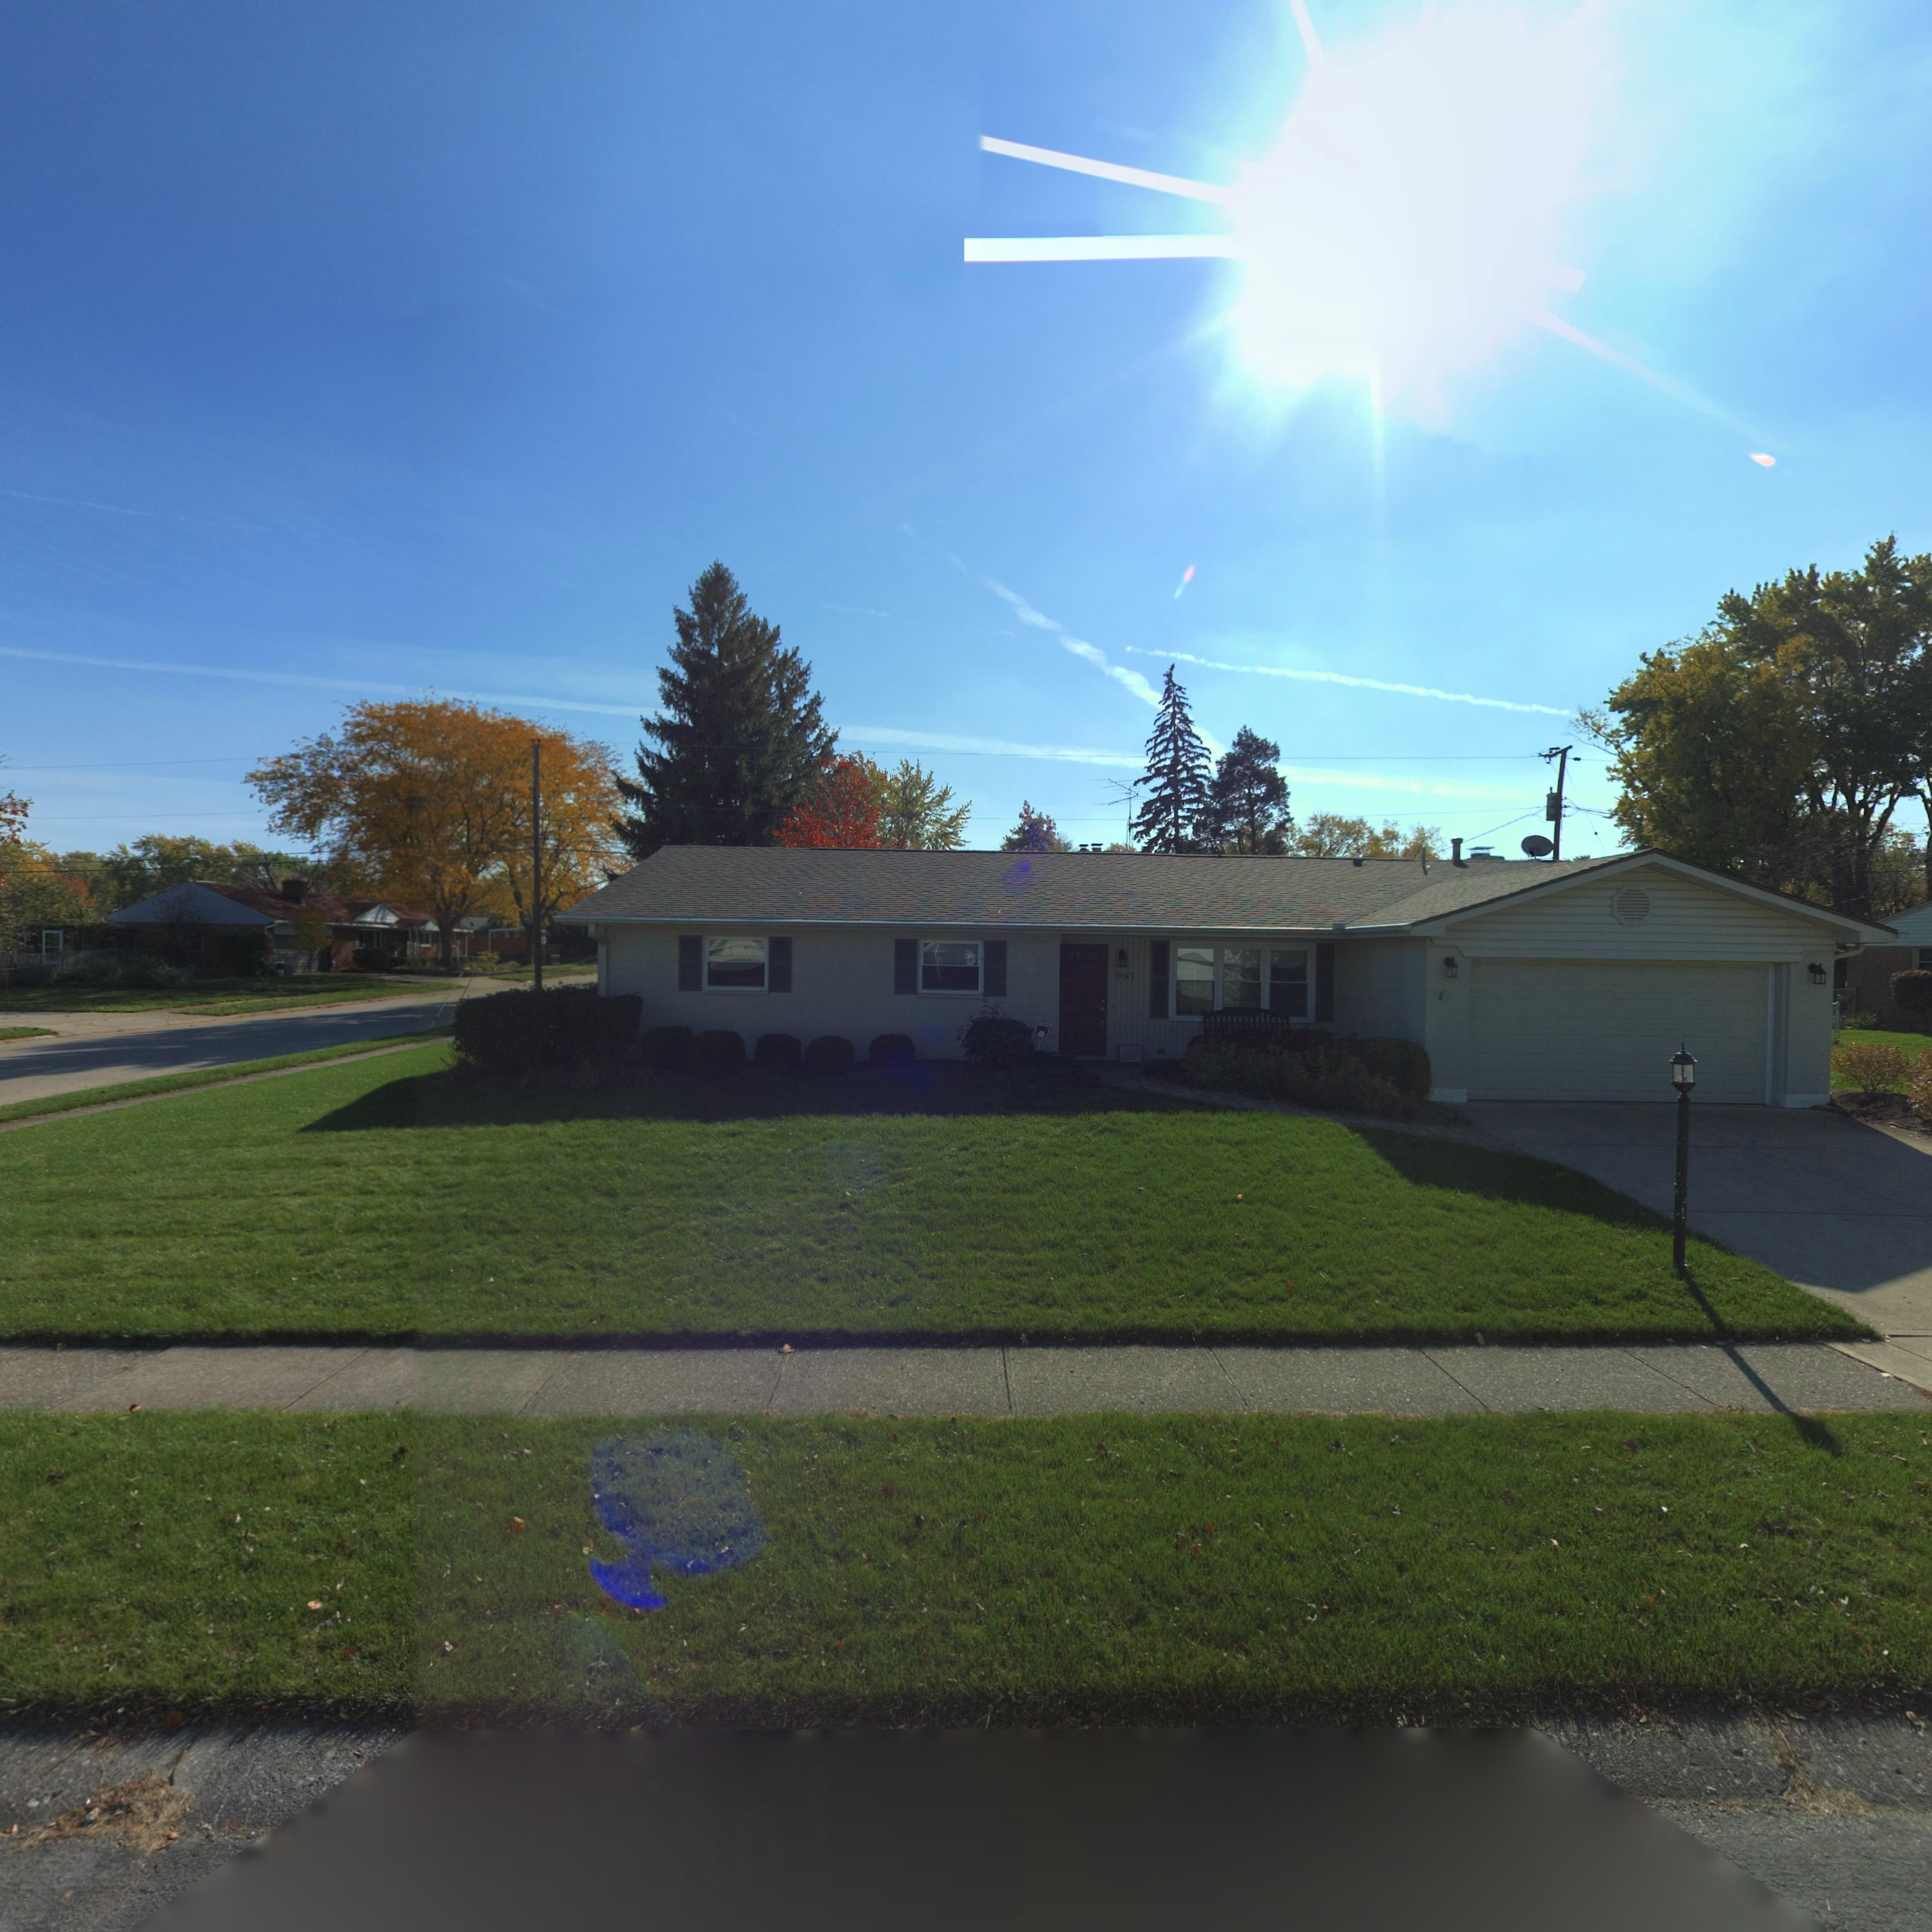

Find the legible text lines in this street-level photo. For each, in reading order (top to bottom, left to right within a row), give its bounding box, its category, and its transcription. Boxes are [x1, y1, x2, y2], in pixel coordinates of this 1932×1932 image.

[1116, 972, 1134, 980] StreetNumber: 980